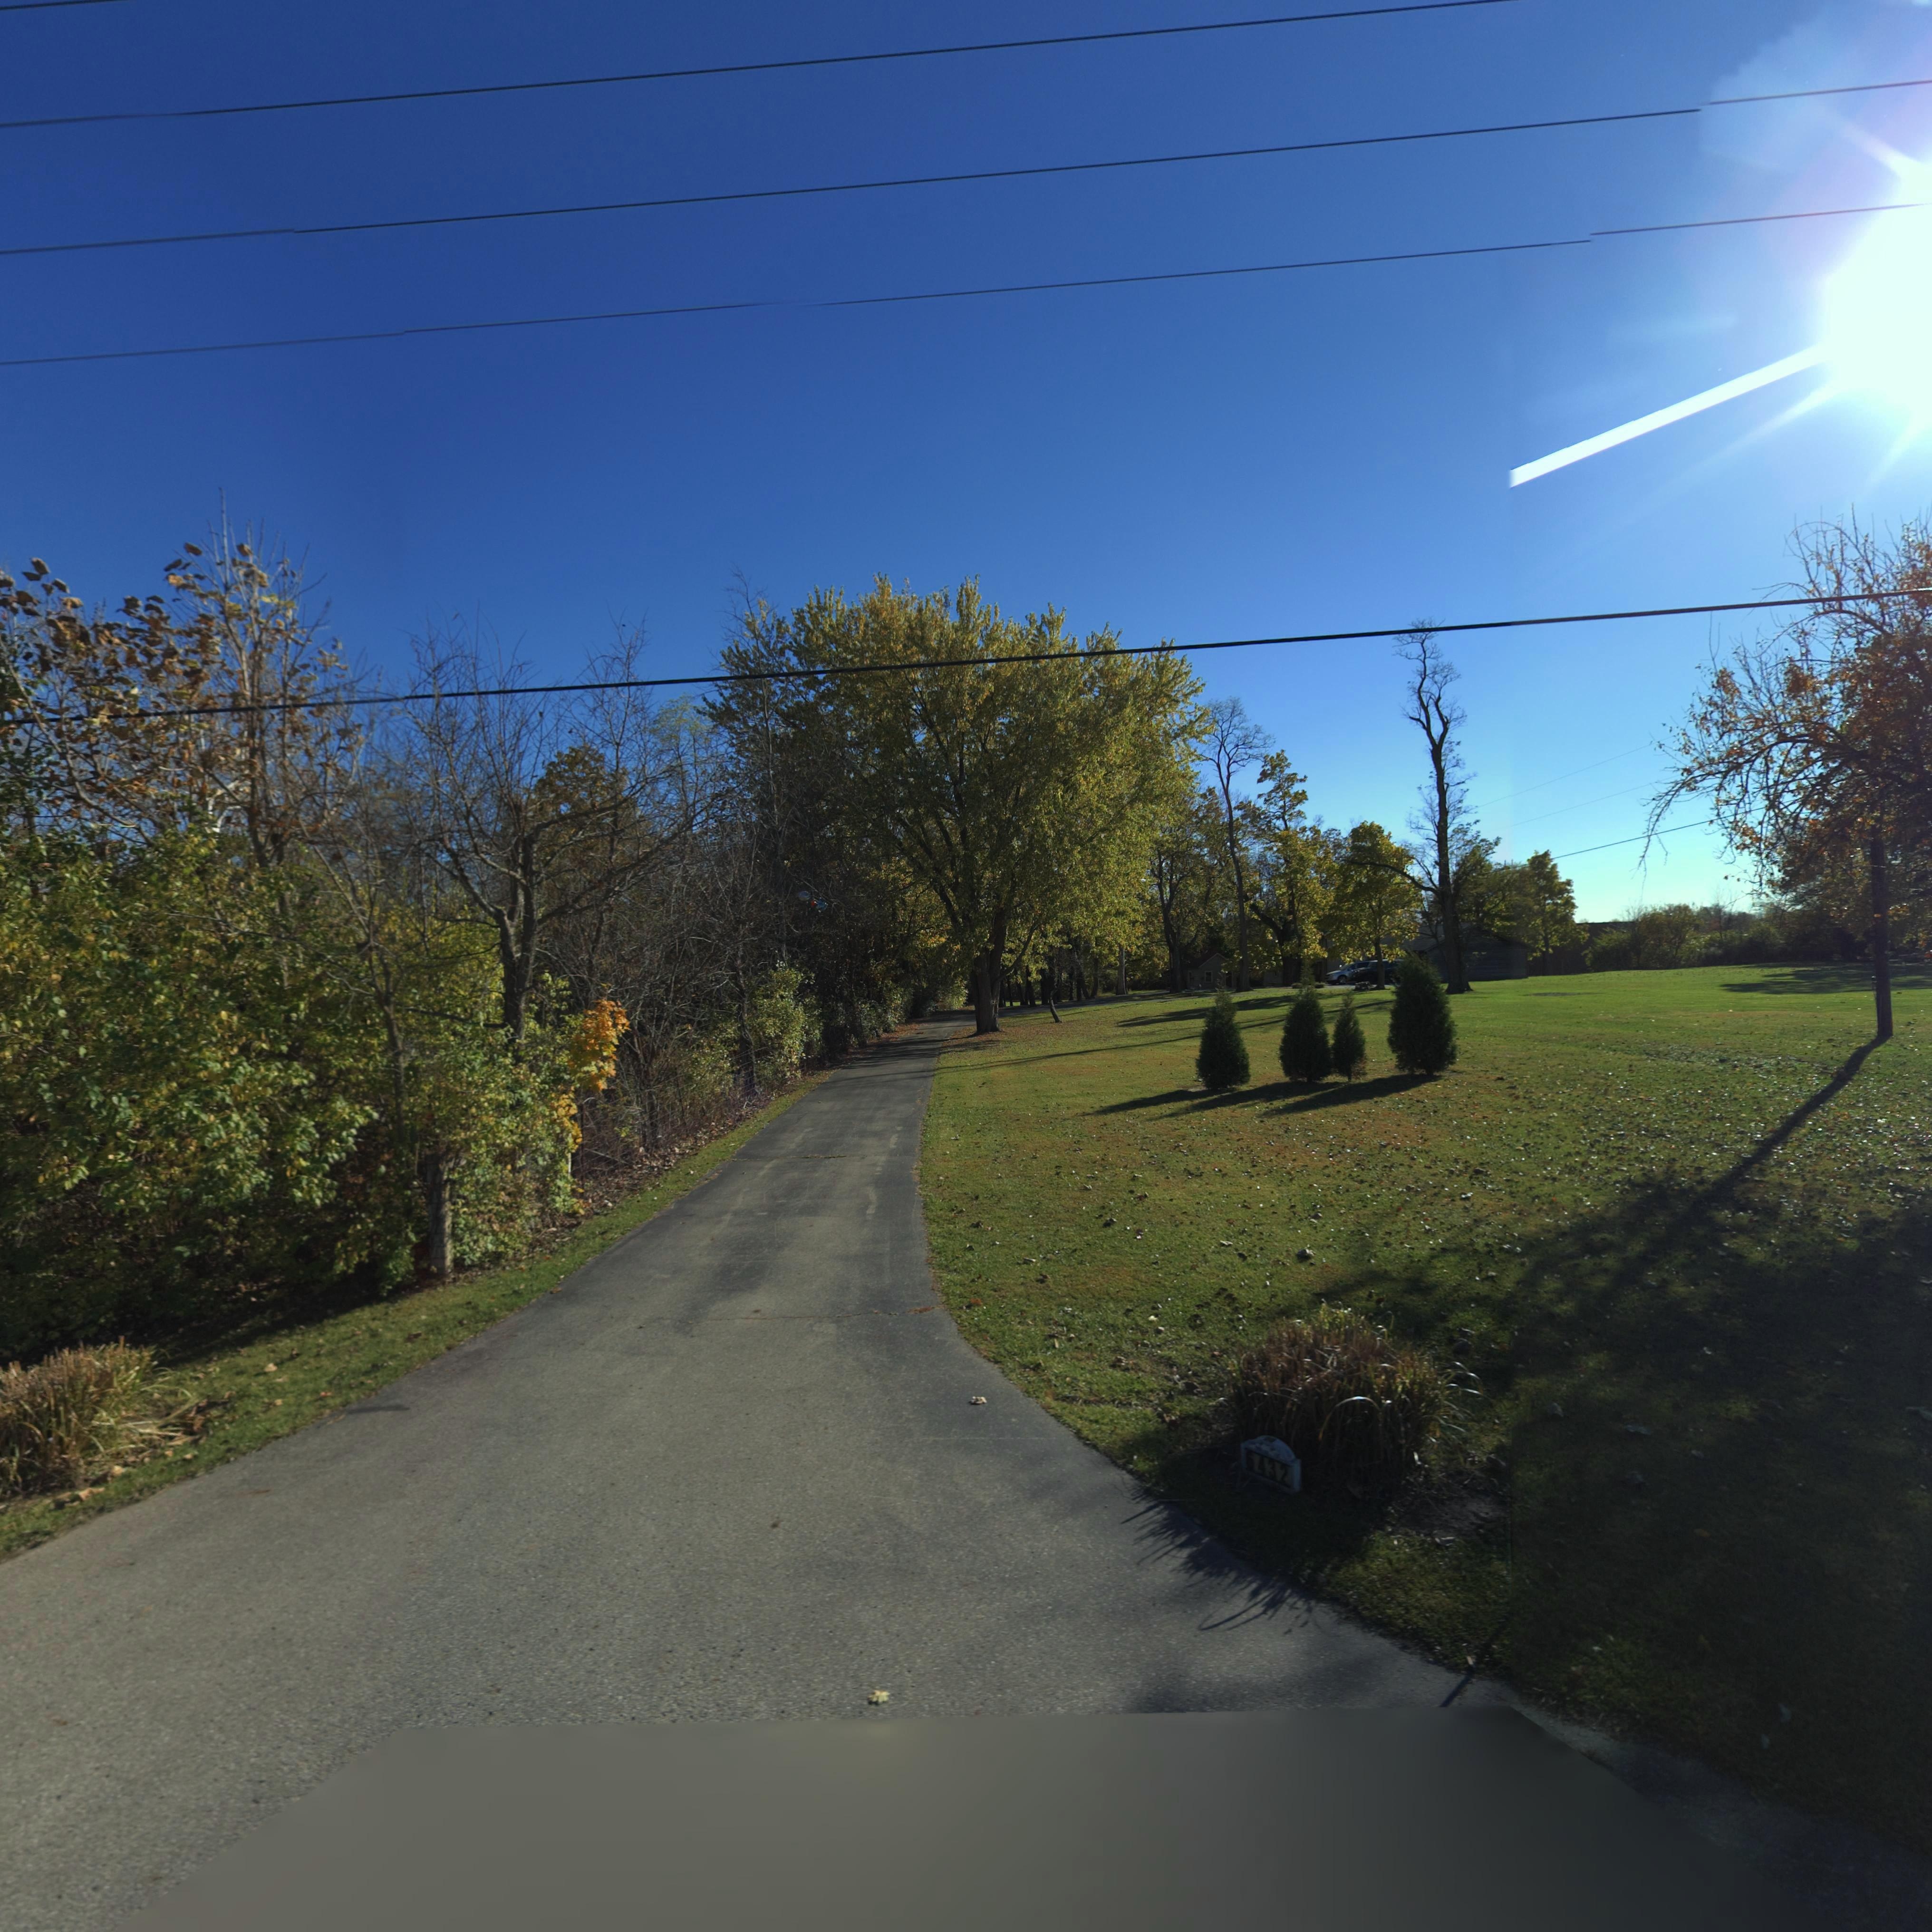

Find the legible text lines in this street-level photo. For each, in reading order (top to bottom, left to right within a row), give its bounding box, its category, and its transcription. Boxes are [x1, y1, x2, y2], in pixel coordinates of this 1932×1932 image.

[1244, 1449, 1290, 1487] StreetNumber: 6432